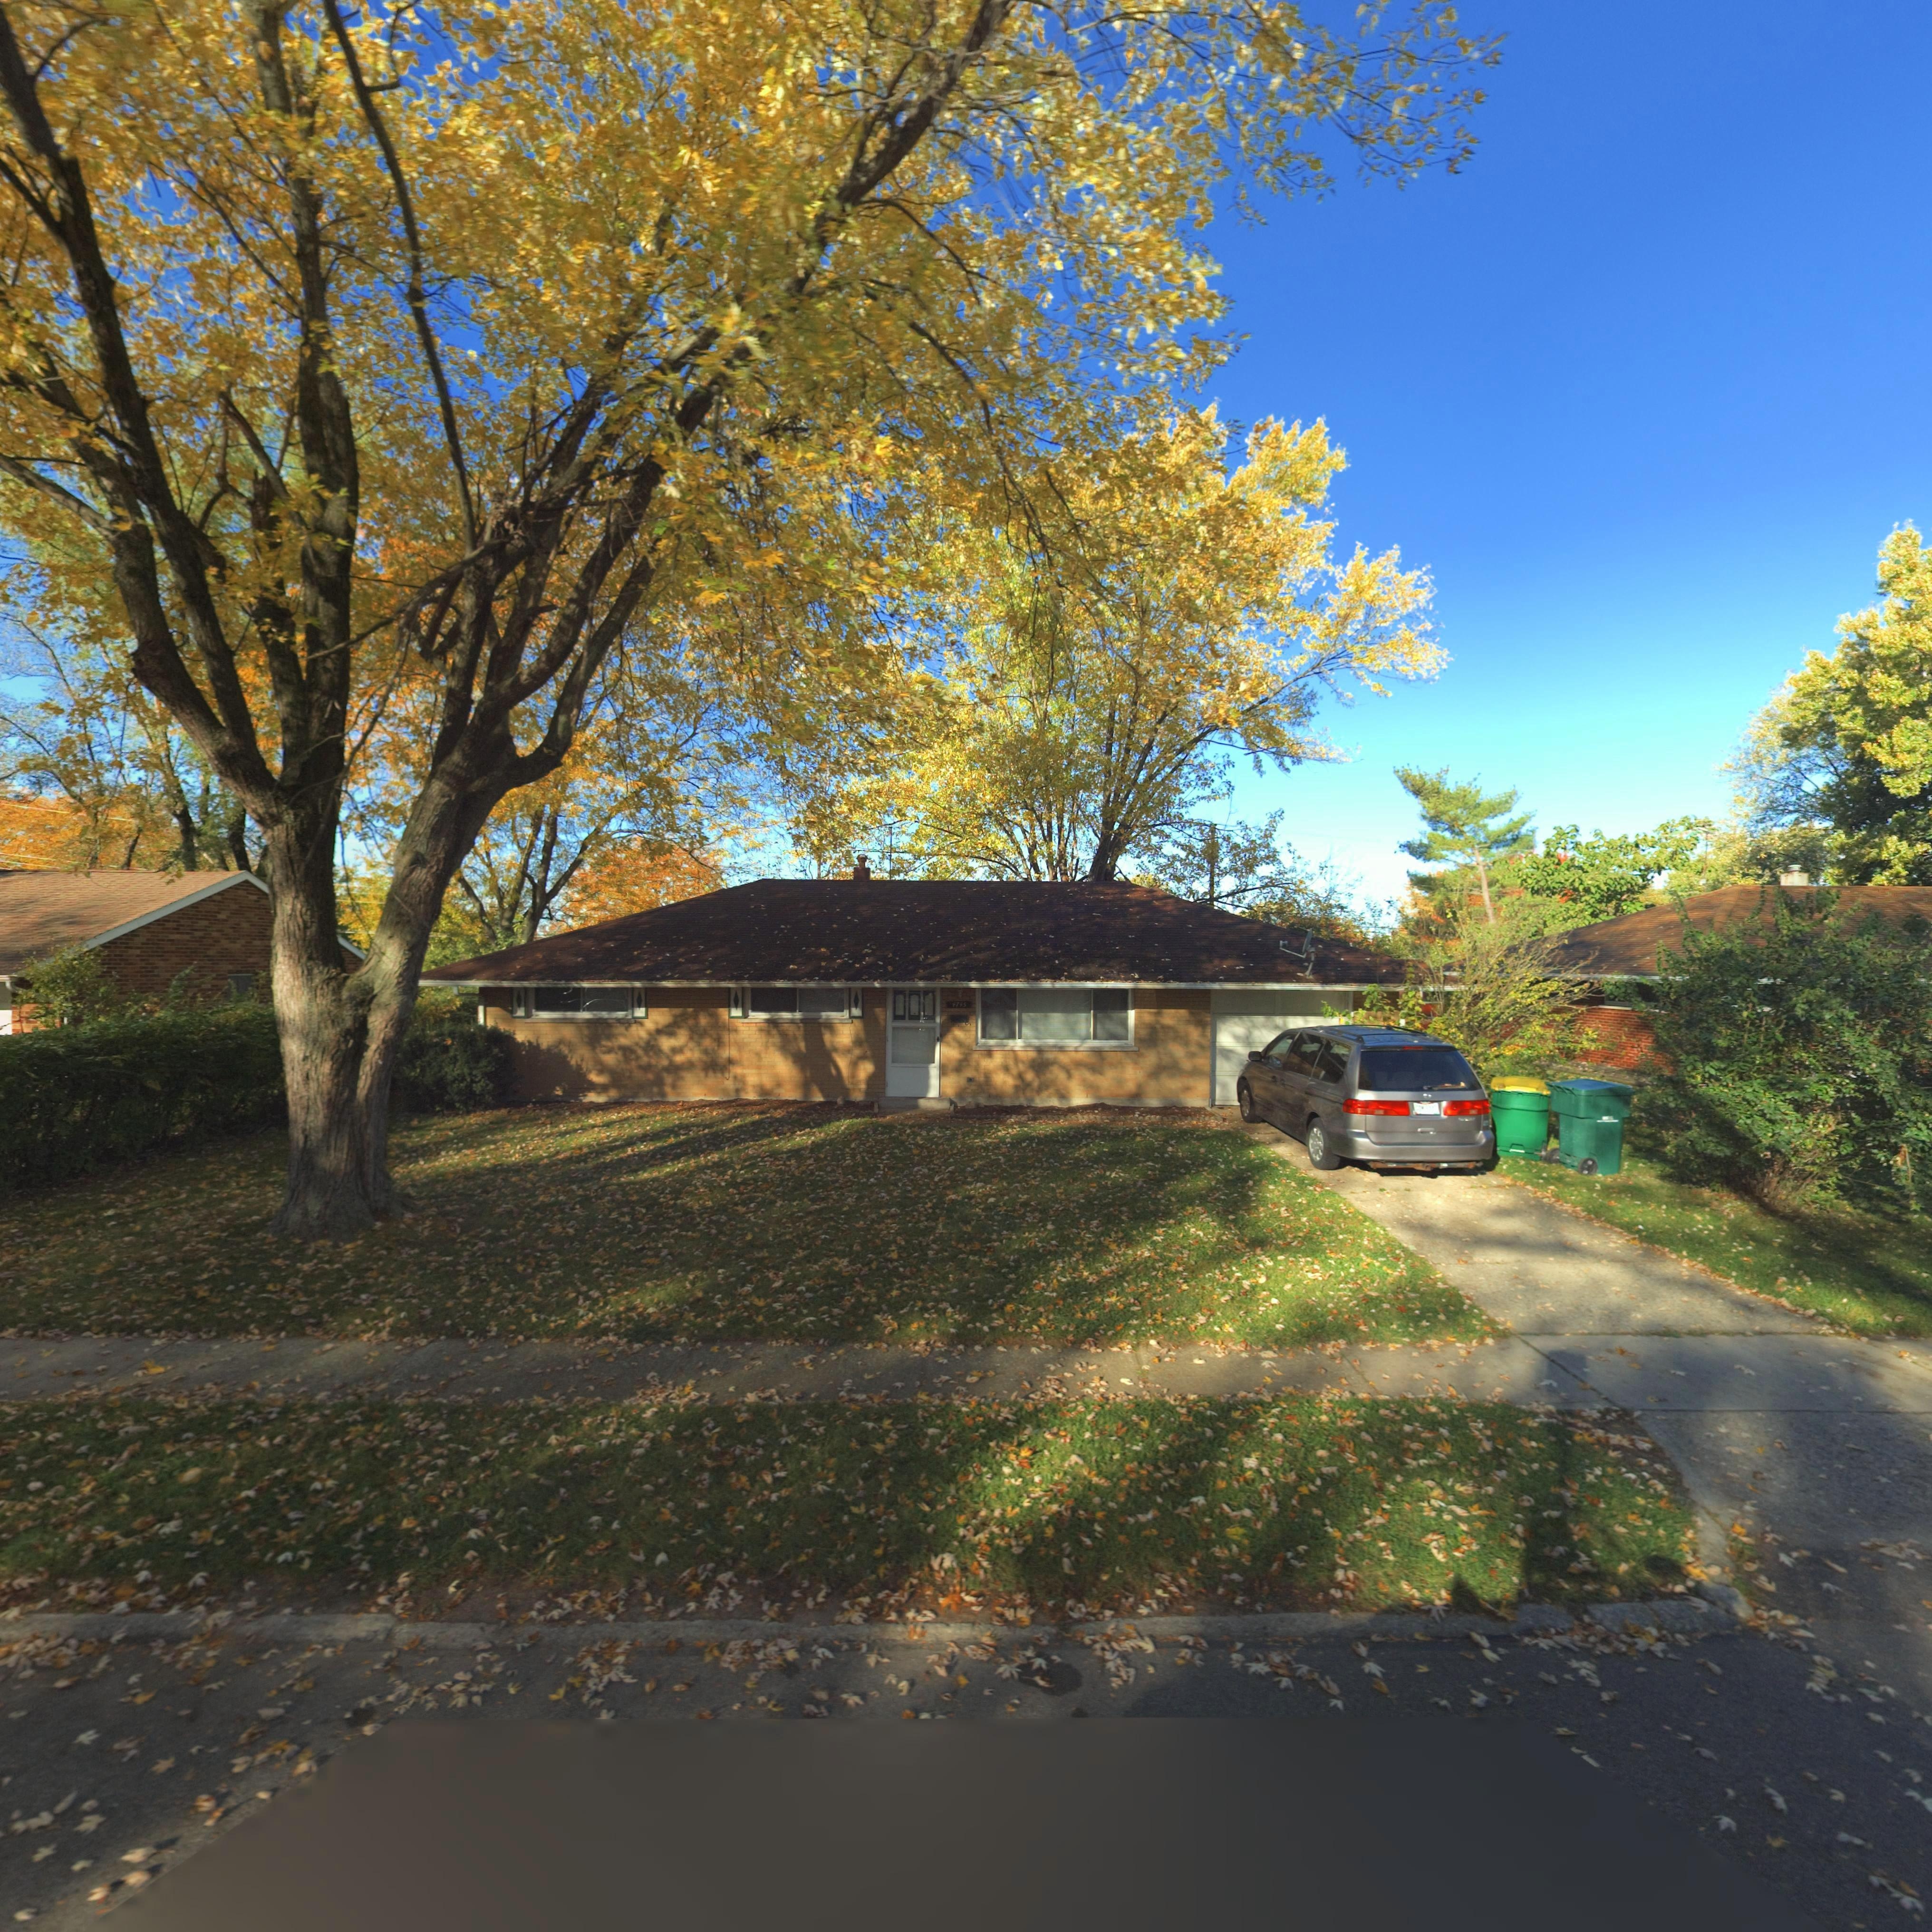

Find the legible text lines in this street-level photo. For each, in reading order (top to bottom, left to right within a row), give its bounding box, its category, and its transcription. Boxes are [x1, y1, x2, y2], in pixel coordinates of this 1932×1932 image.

[951, 1001, 967, 1007] StreetNumber: 4745